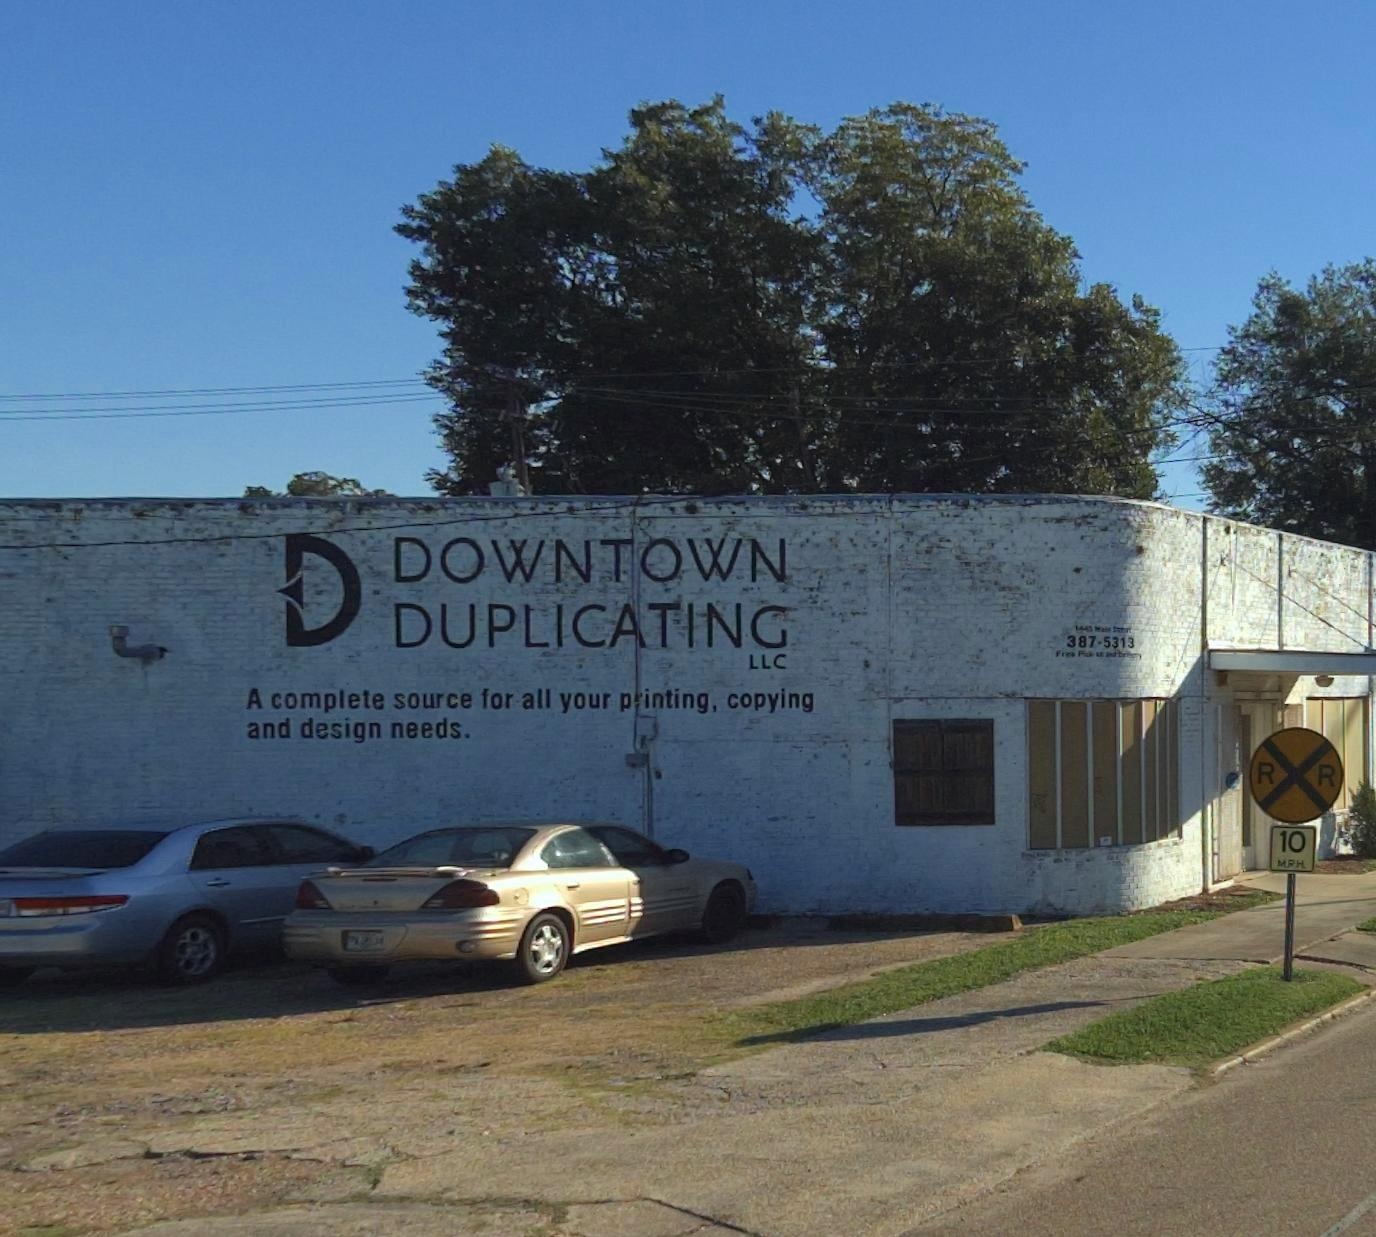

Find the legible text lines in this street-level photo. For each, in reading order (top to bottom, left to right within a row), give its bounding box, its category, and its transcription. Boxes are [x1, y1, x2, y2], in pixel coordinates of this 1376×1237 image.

[391, 534, 789, 586] BusinessName: DOWNTOWN
[272, 530, 364, 649] None: D
[390, 600, 793, 651] BusinessName: DUPLICATING
[1062, 632, 1138, 652] None: 387-5313
[746, 652, 790, 672] BusinessName: LLC
[242, 683, 819, 718] None: A complete source for all your p*inting, copying
[243, 715, 474, 745] None: and design needs.
[1255, 760, 1339, 789] None: R R
[1277, 828, 1309, 855] None: 10
[1275, 857, 1307, 872] None: M.P.H.